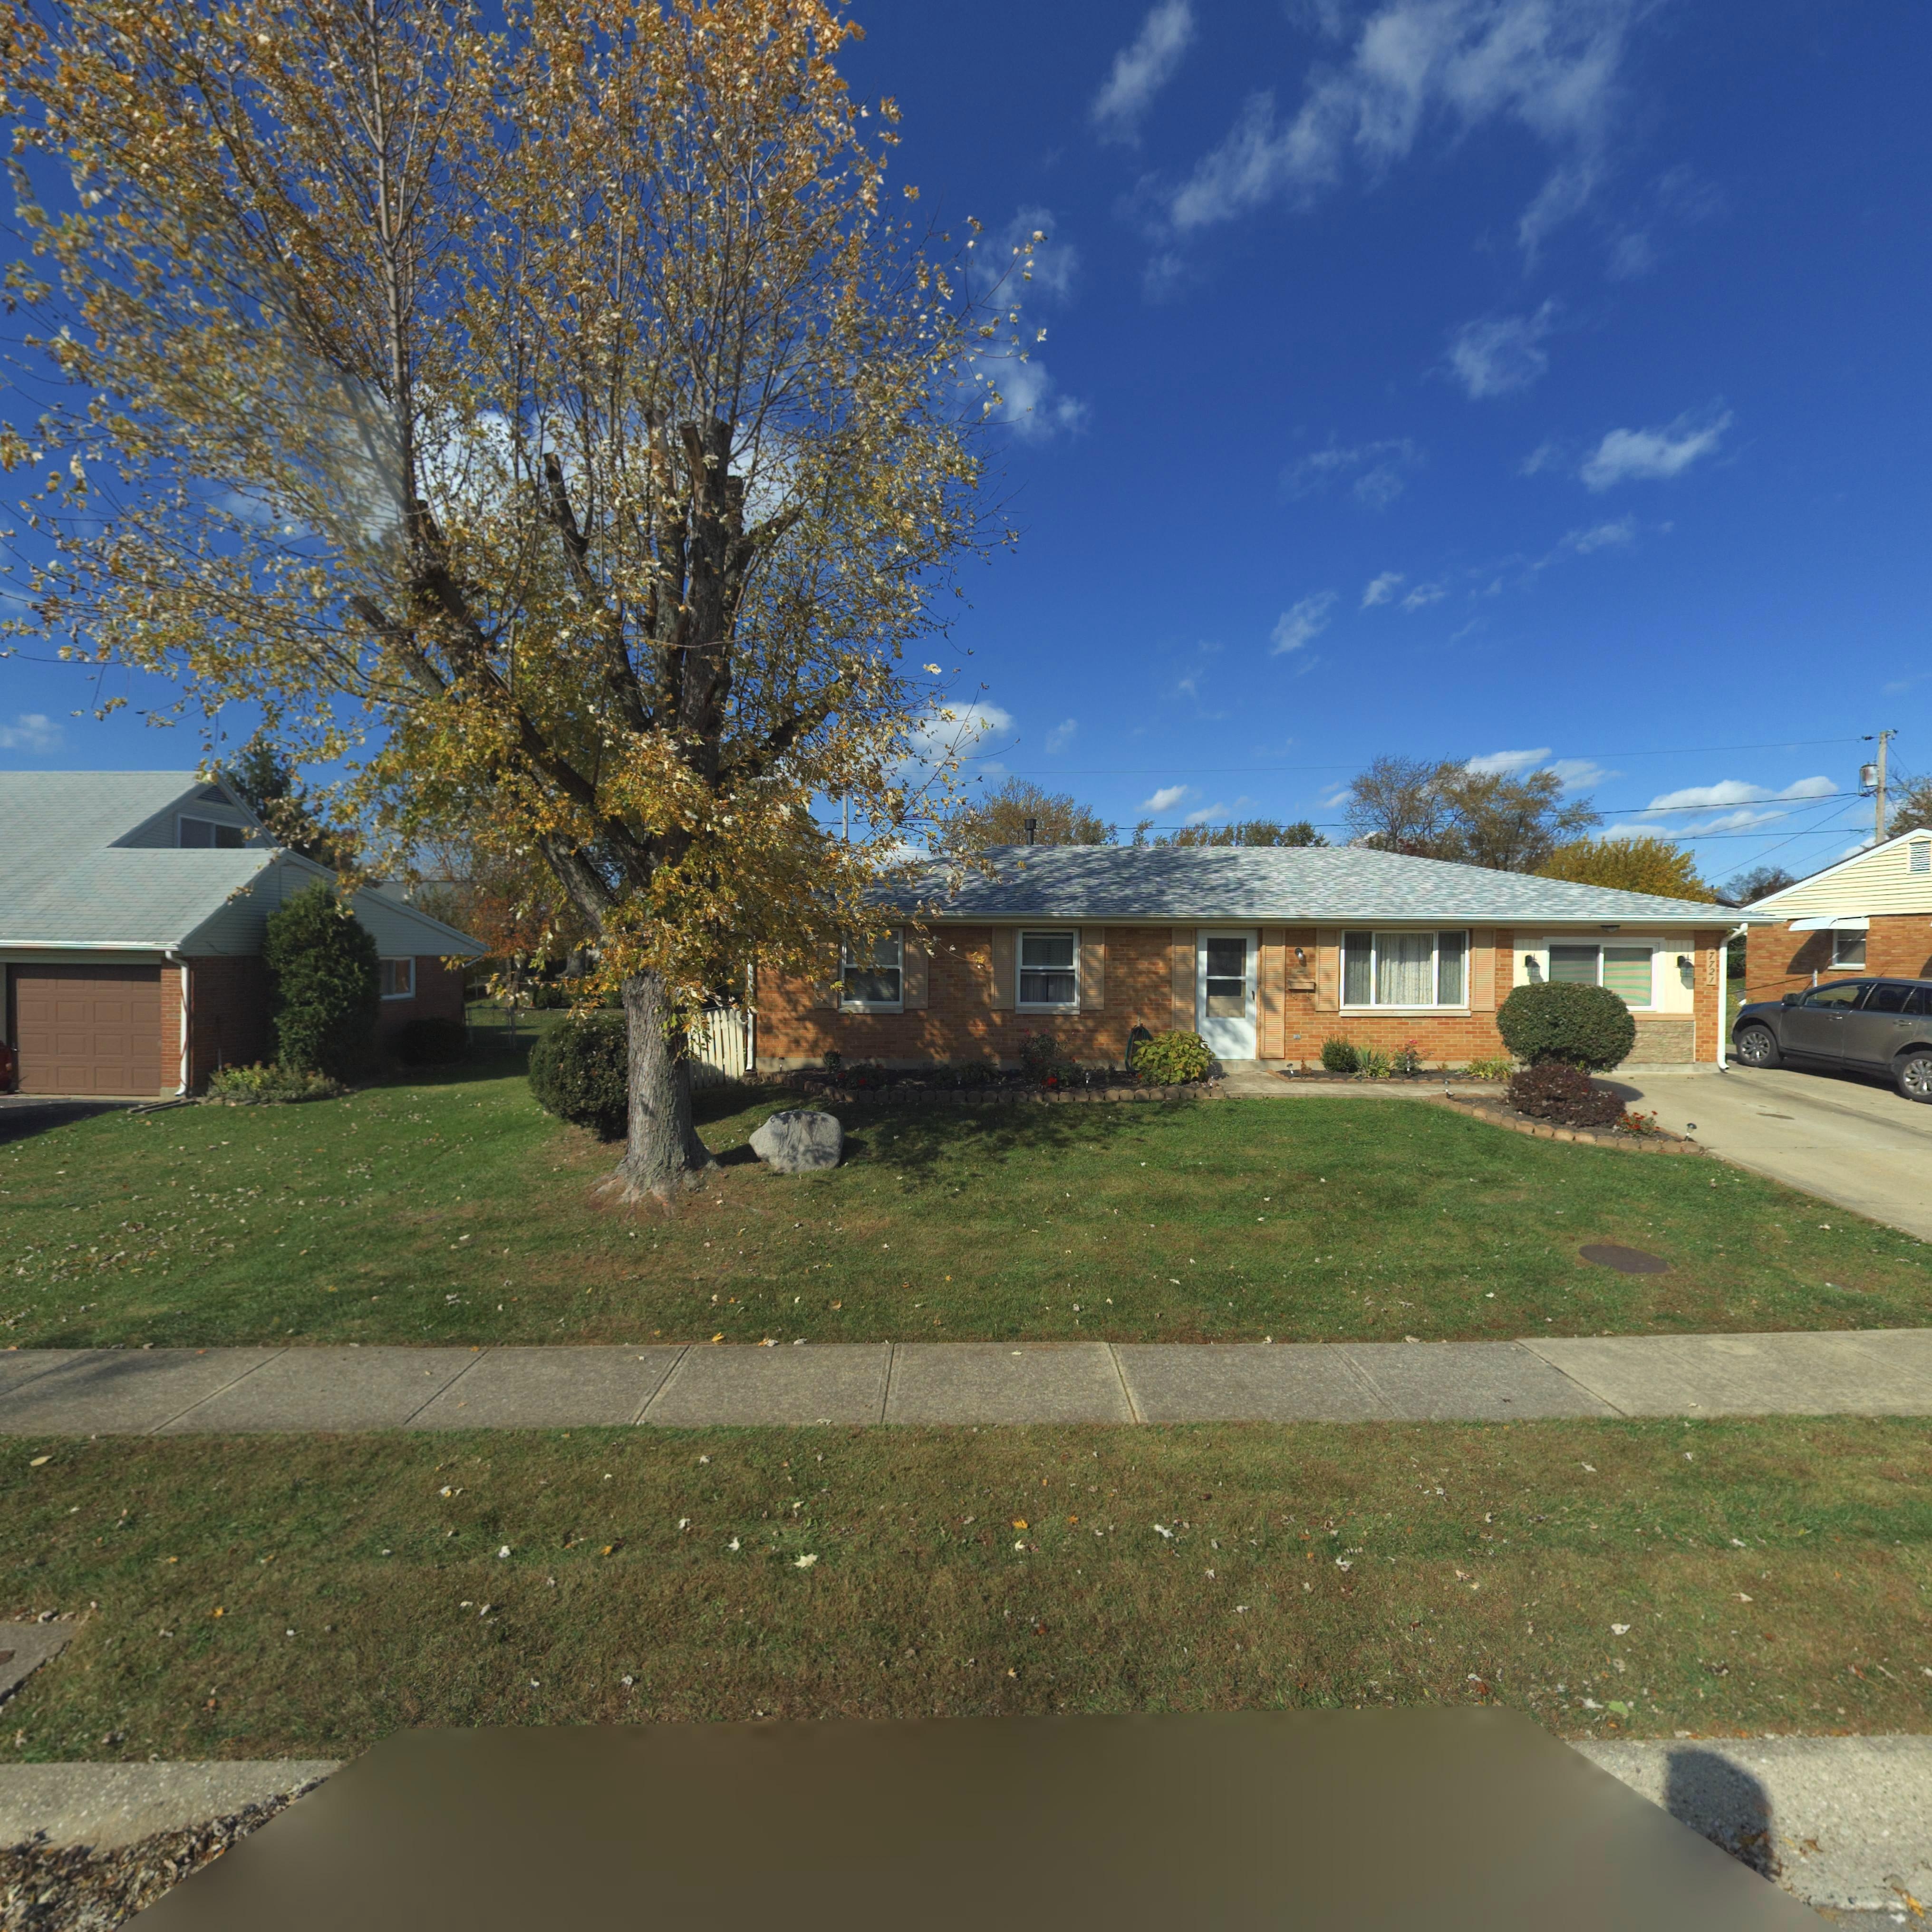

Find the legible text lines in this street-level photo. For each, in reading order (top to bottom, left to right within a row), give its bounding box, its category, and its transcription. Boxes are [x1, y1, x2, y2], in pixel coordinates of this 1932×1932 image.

[1296, 970, 1304, 973] StreetNumber: 7***
[1708, 951, 1715, 984] StreetNumber: 7721